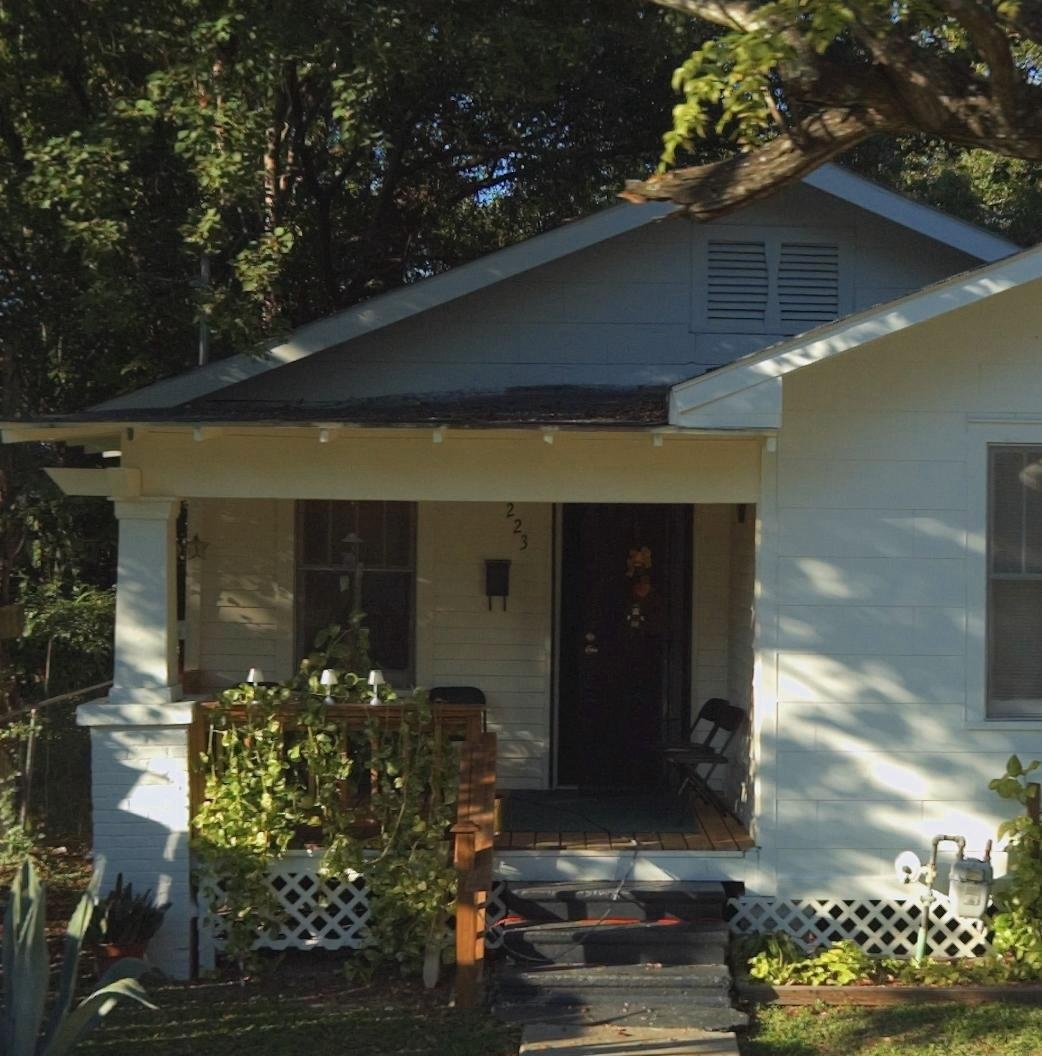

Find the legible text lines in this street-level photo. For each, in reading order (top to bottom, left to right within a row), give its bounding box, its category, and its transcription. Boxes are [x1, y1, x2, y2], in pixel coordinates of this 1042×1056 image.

[503, 501, 531, 553] StreetNumber: 223